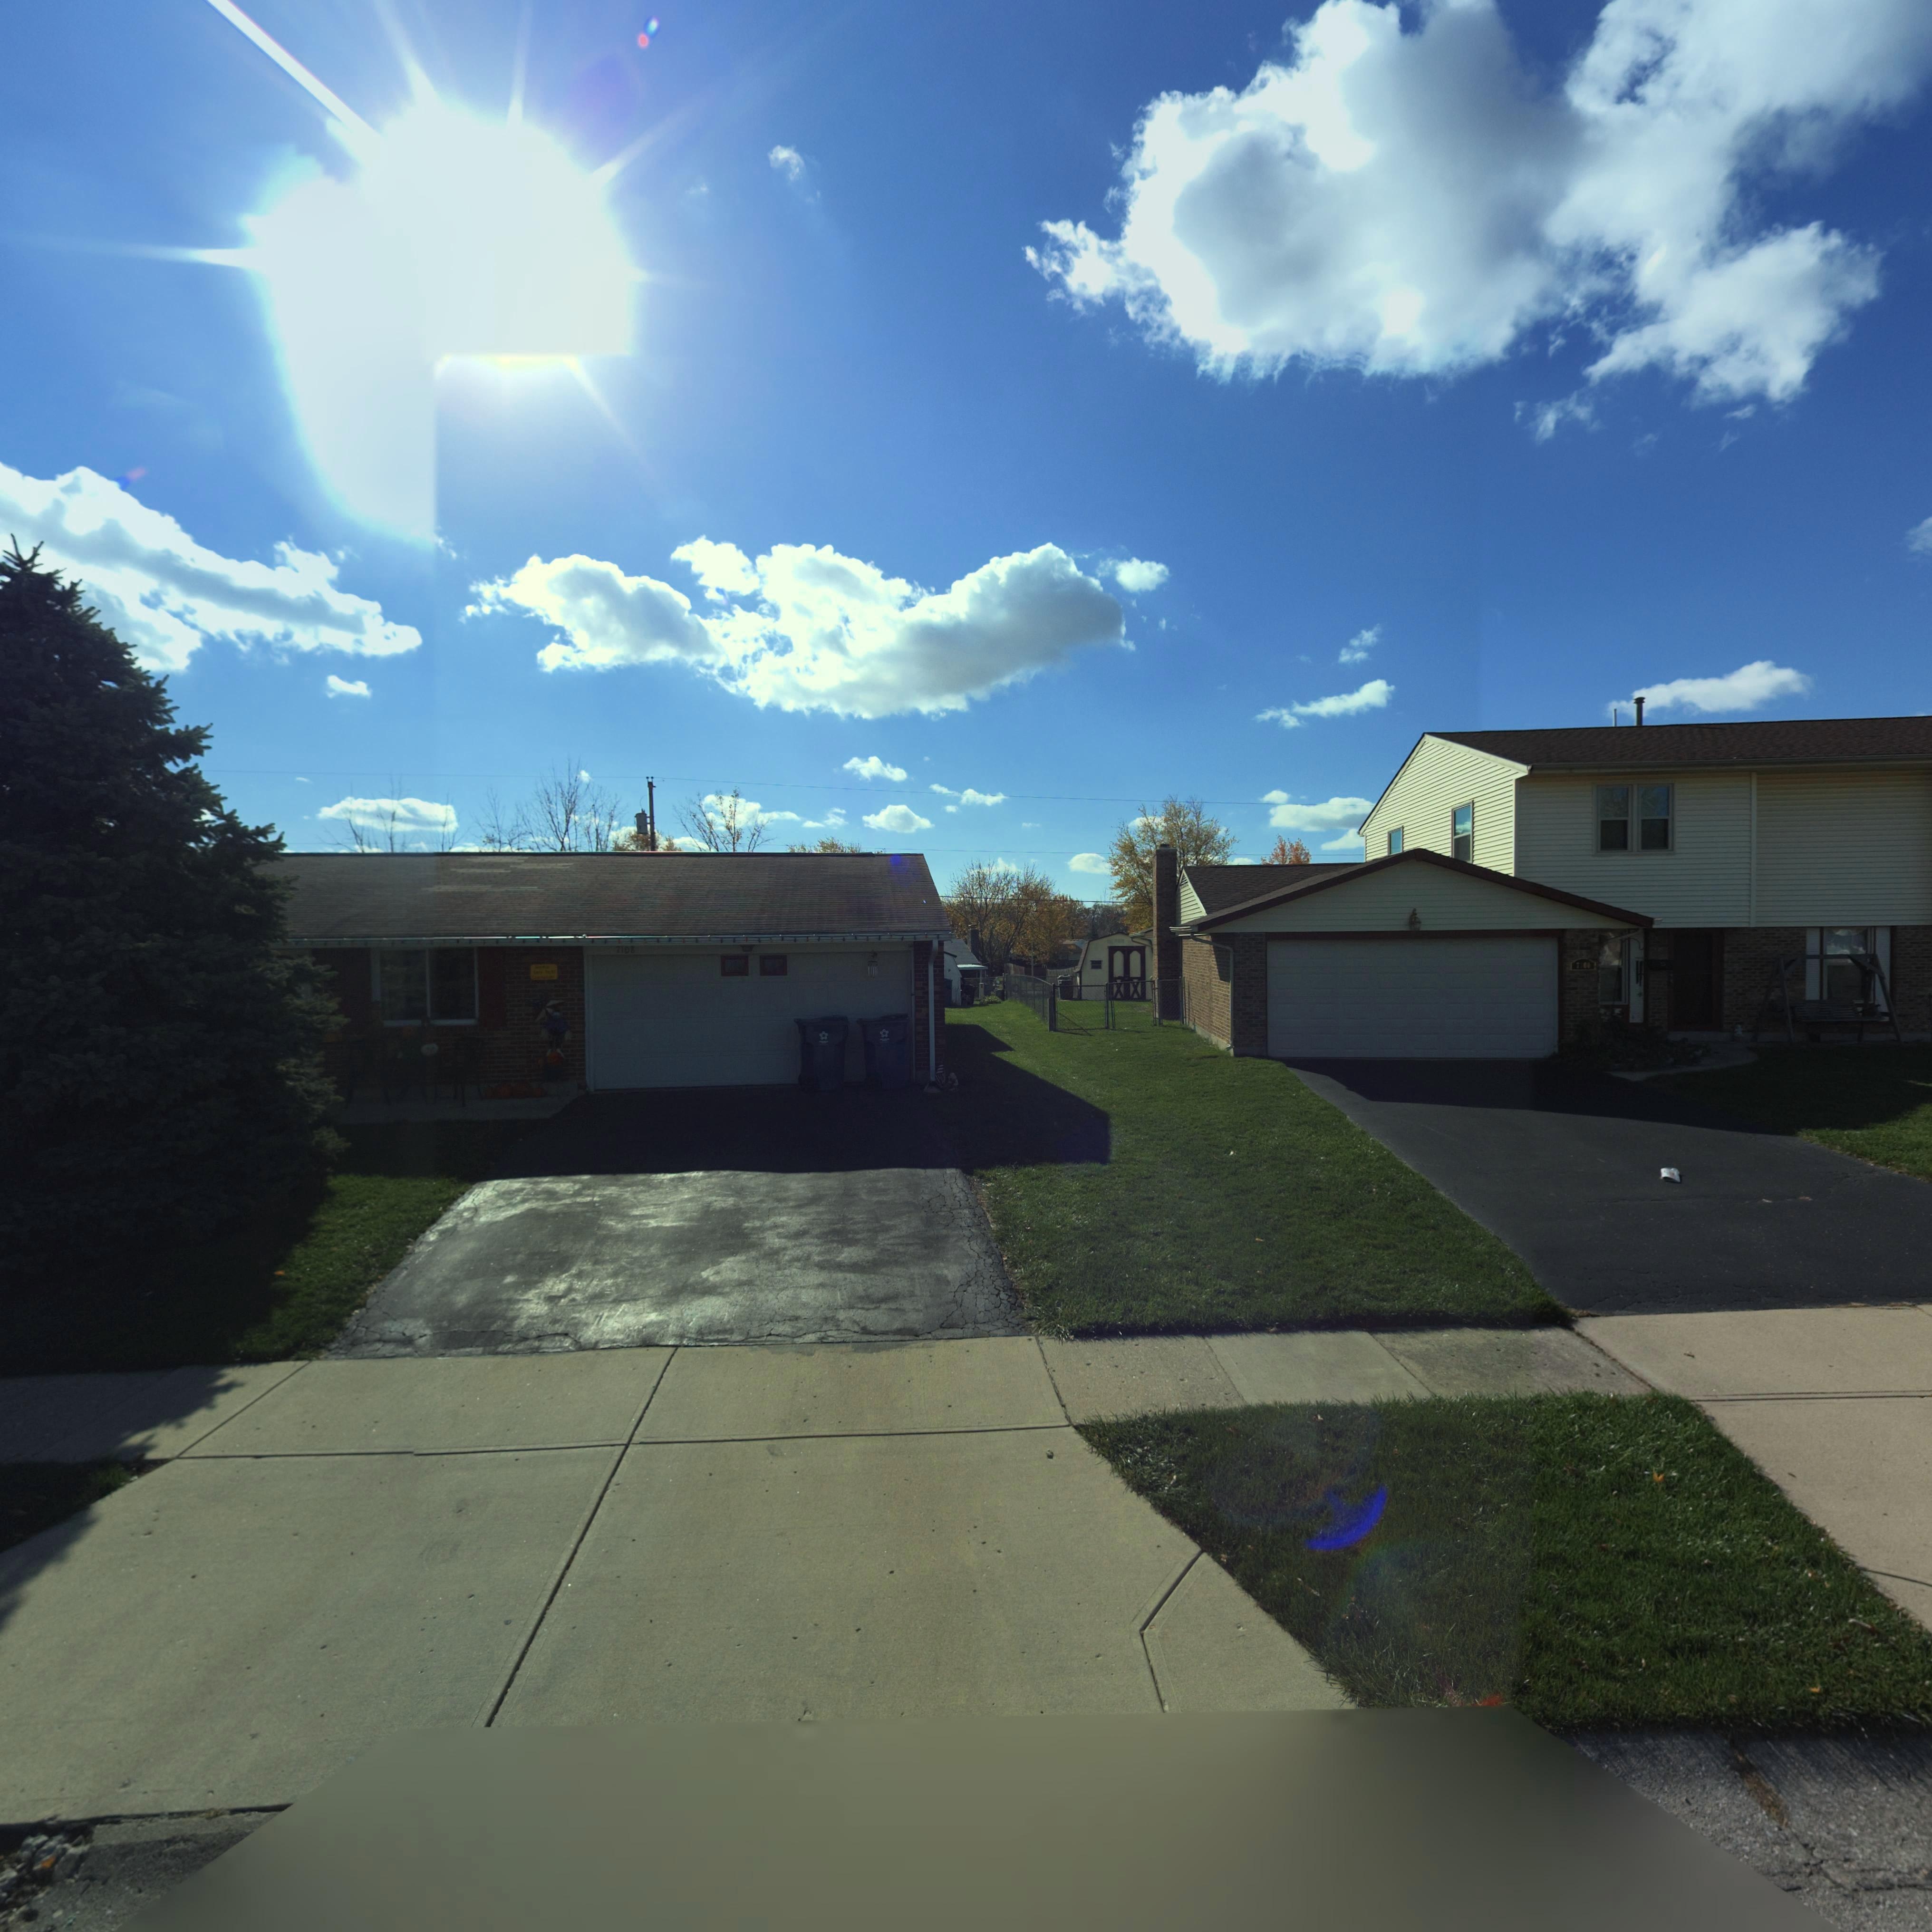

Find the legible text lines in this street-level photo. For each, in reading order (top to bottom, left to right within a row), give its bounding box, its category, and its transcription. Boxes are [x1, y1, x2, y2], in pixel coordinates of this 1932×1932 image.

[615, 945, 637, 955] StreetNumber: 7108
[1575, 961, 1592, 969] StreetNumber: 7***